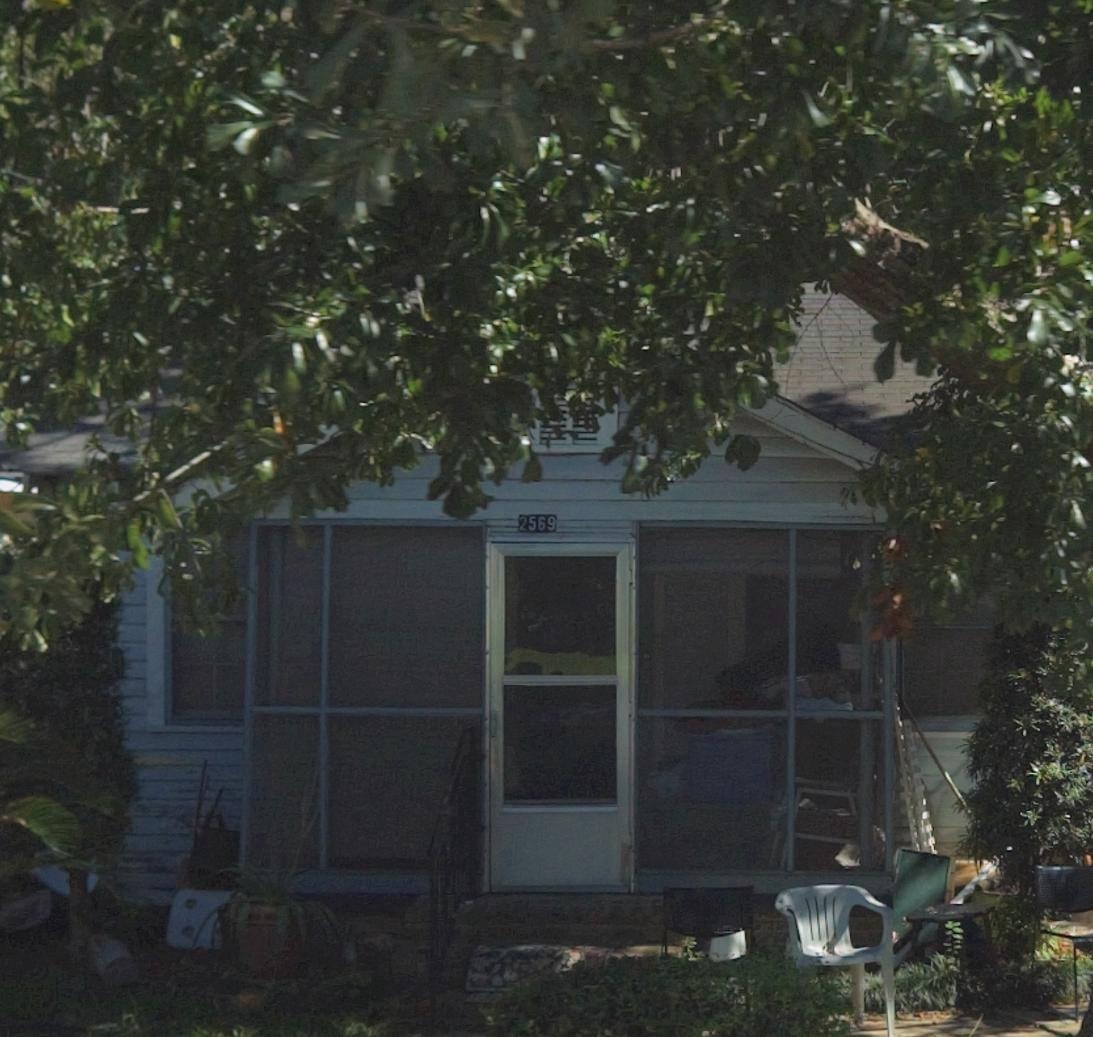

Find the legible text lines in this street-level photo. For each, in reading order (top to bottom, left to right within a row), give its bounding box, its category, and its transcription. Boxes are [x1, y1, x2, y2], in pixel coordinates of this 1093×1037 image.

[518, 515, 557, 532] StreetNumber: 2569